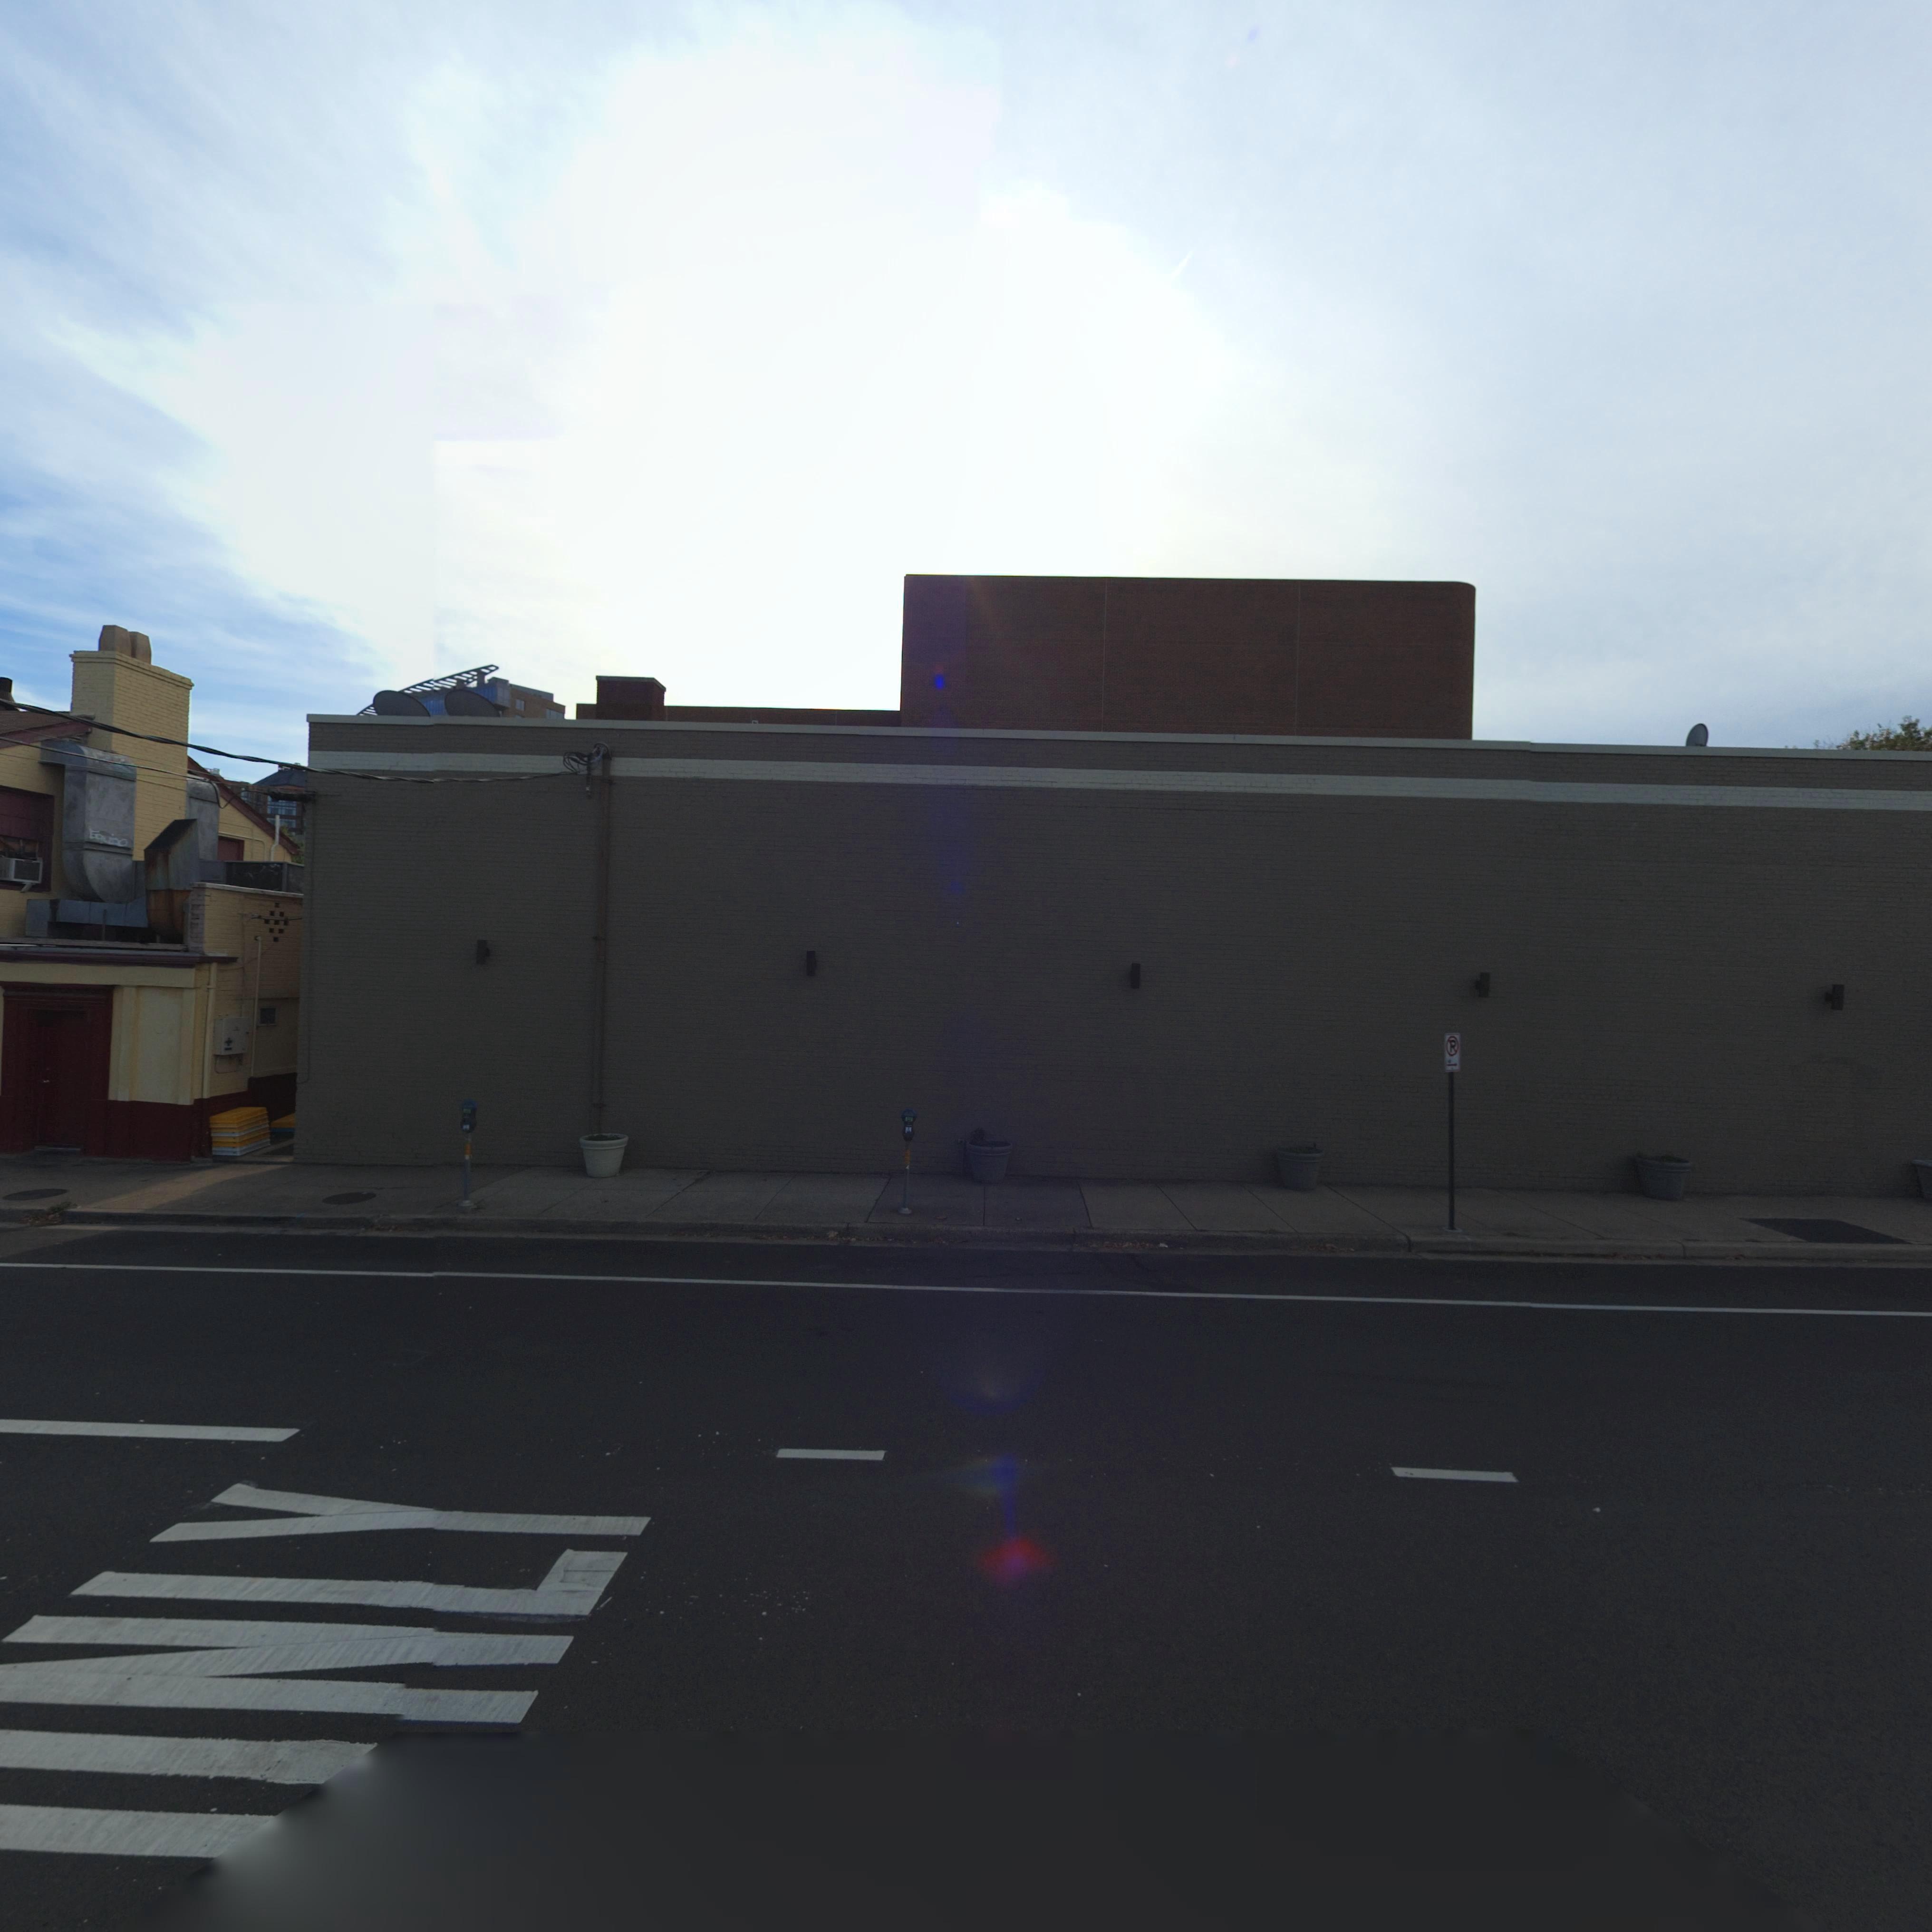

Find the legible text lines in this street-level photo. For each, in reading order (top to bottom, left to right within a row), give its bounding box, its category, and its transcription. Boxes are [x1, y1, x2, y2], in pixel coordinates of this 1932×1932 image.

[0, 1475, 655, 1729] None: NLY